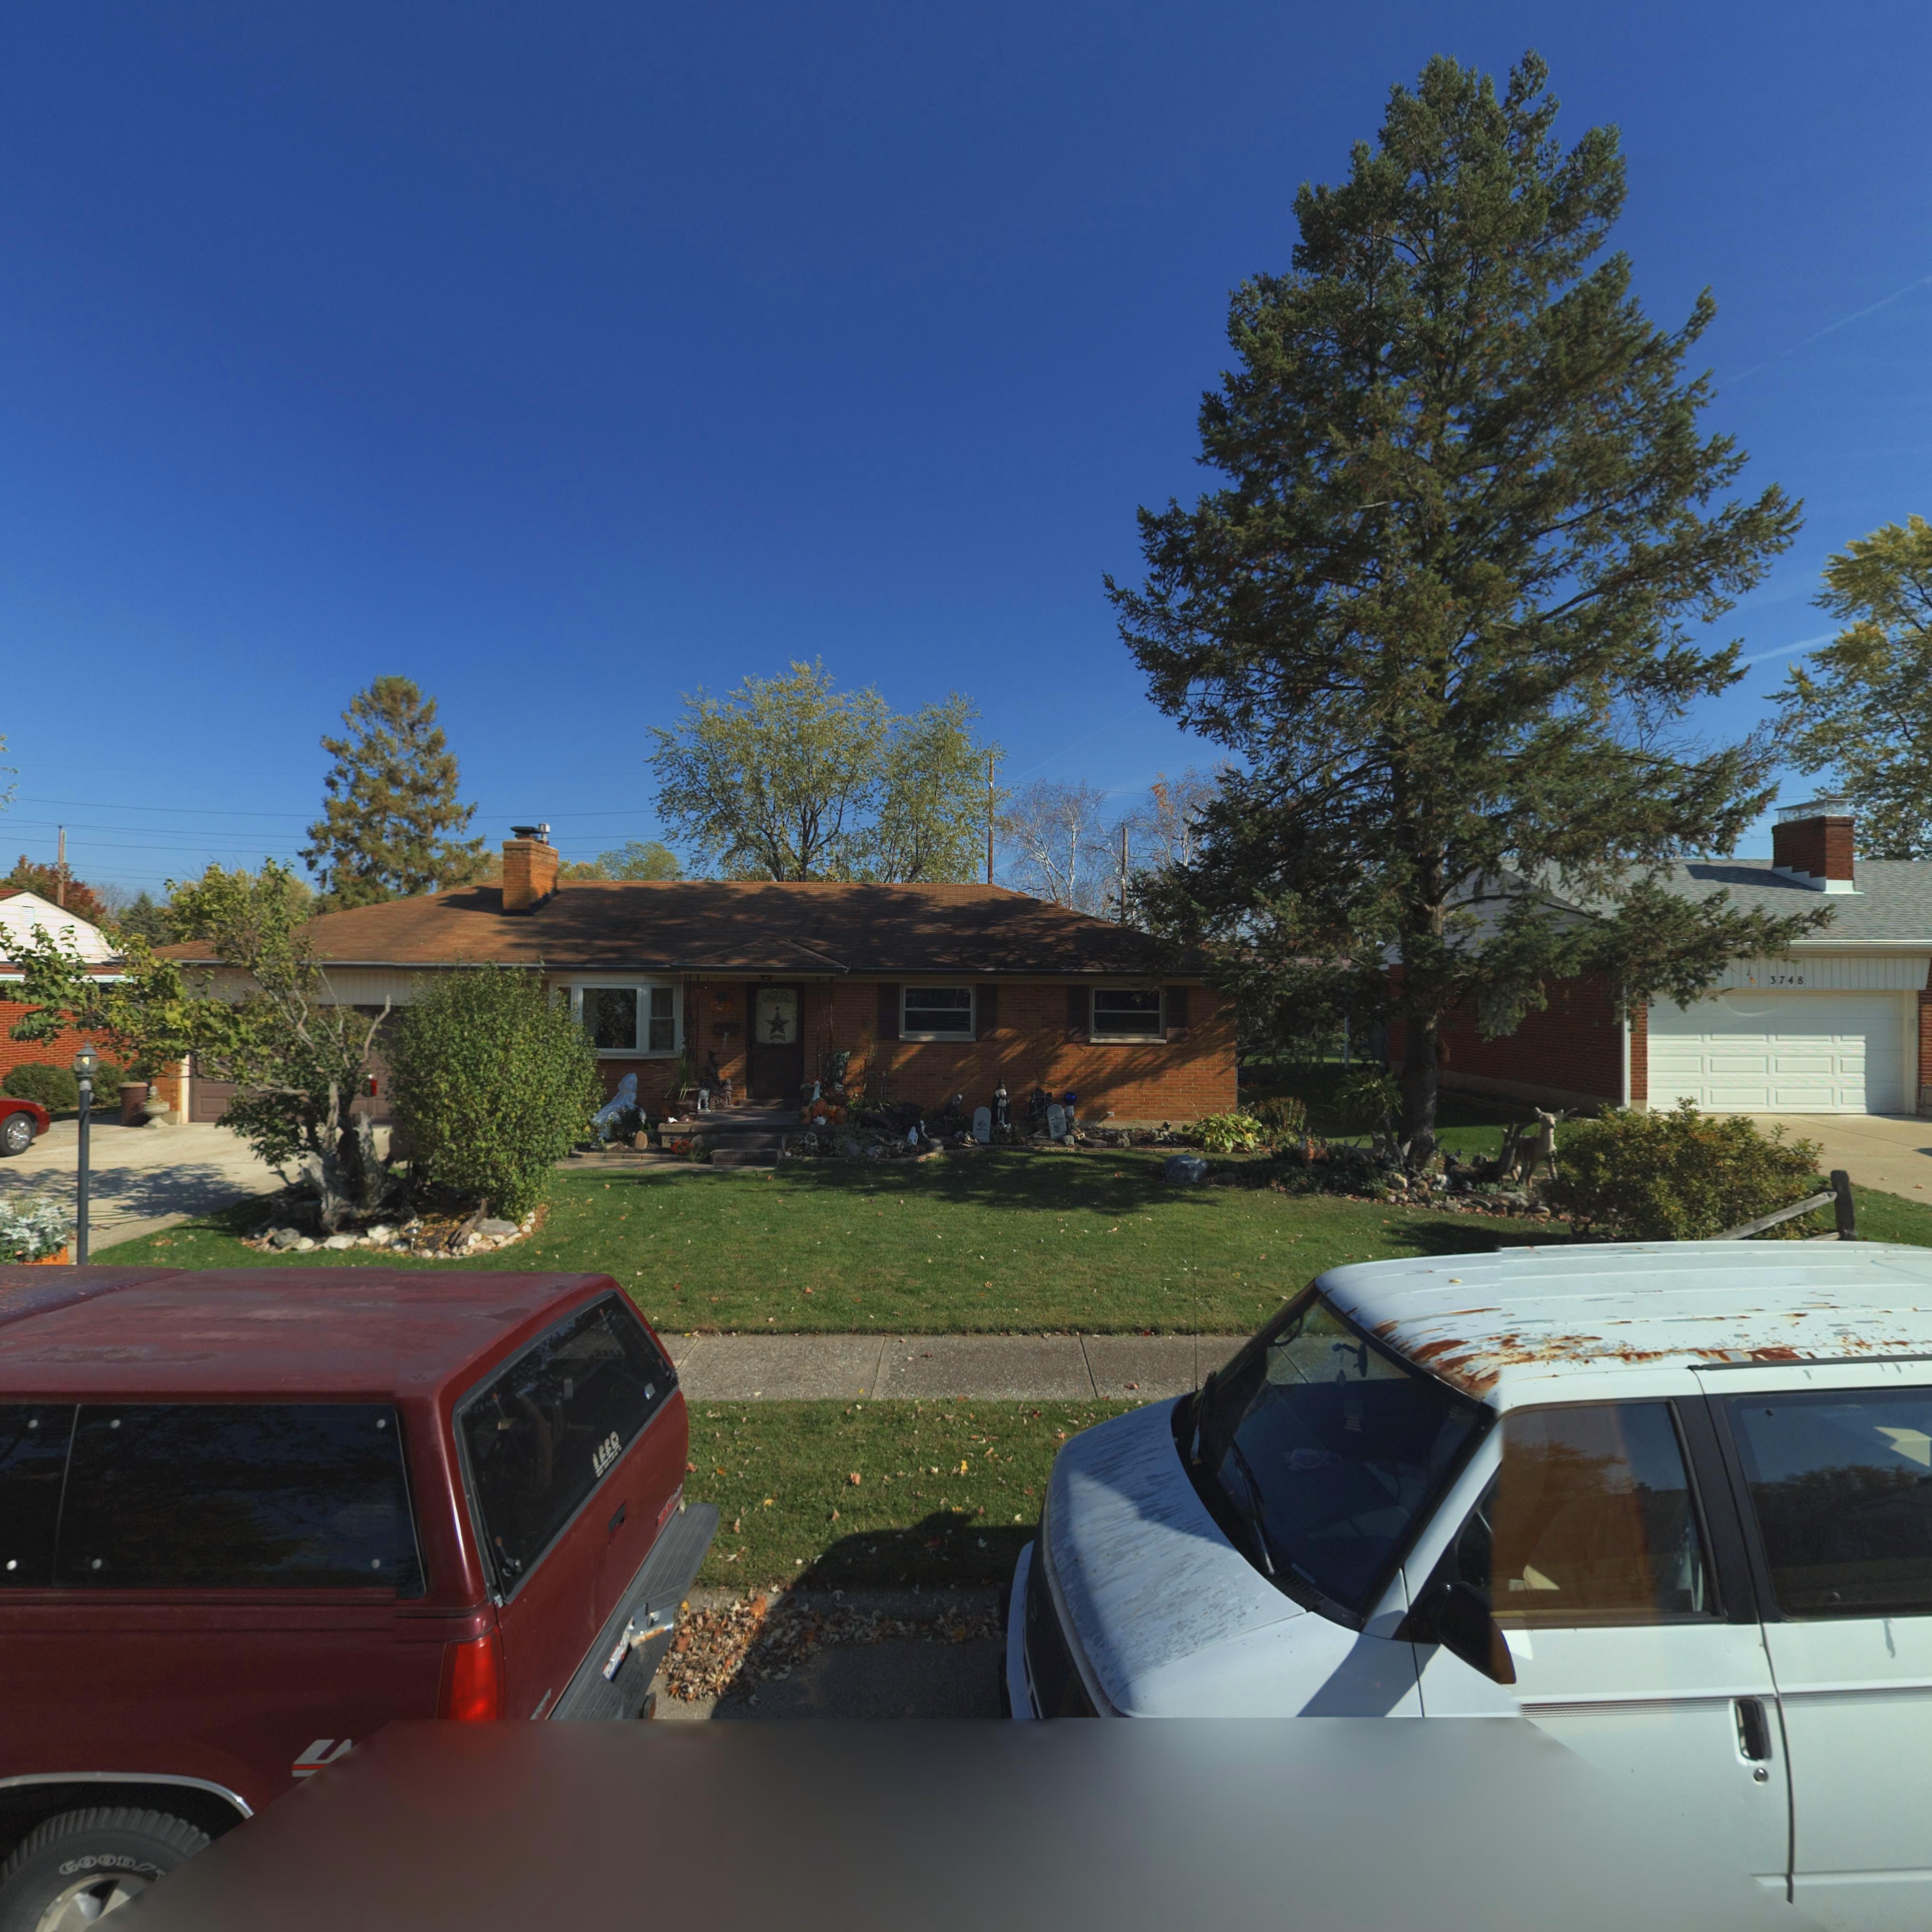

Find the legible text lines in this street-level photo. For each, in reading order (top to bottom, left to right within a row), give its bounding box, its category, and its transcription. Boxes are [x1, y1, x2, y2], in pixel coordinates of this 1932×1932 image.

[1769, 975, 1804, 985] StreetNumber: 3748
[589, 1428, 625, 1481] None: LEER